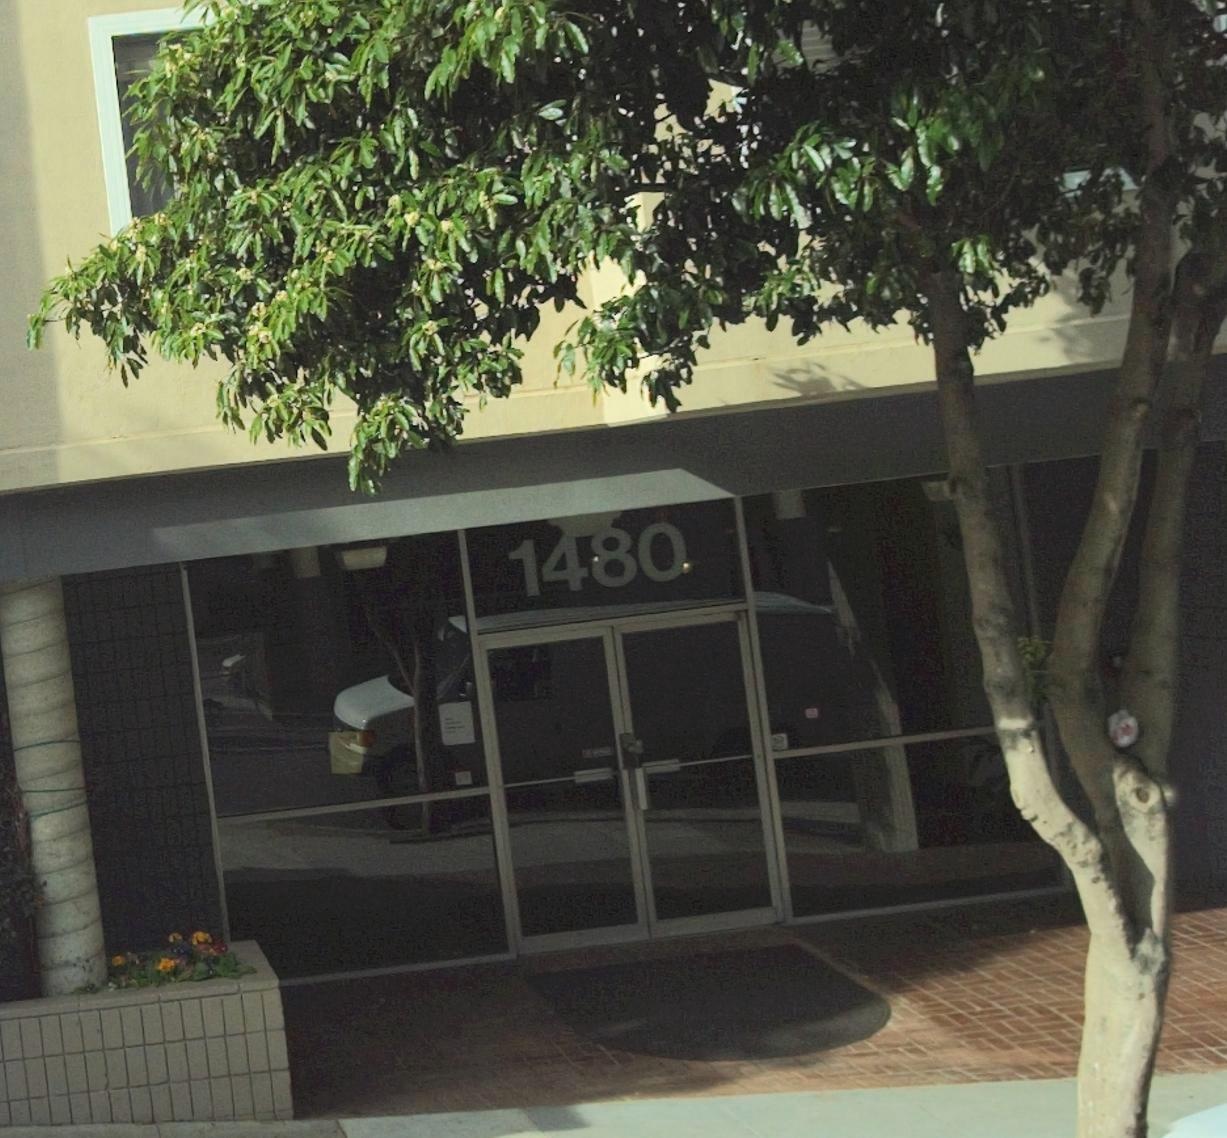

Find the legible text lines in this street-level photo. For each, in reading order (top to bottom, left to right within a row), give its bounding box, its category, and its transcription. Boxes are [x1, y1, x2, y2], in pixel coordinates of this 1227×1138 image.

[497, 512, 697, 608] StreetNumber: 1480